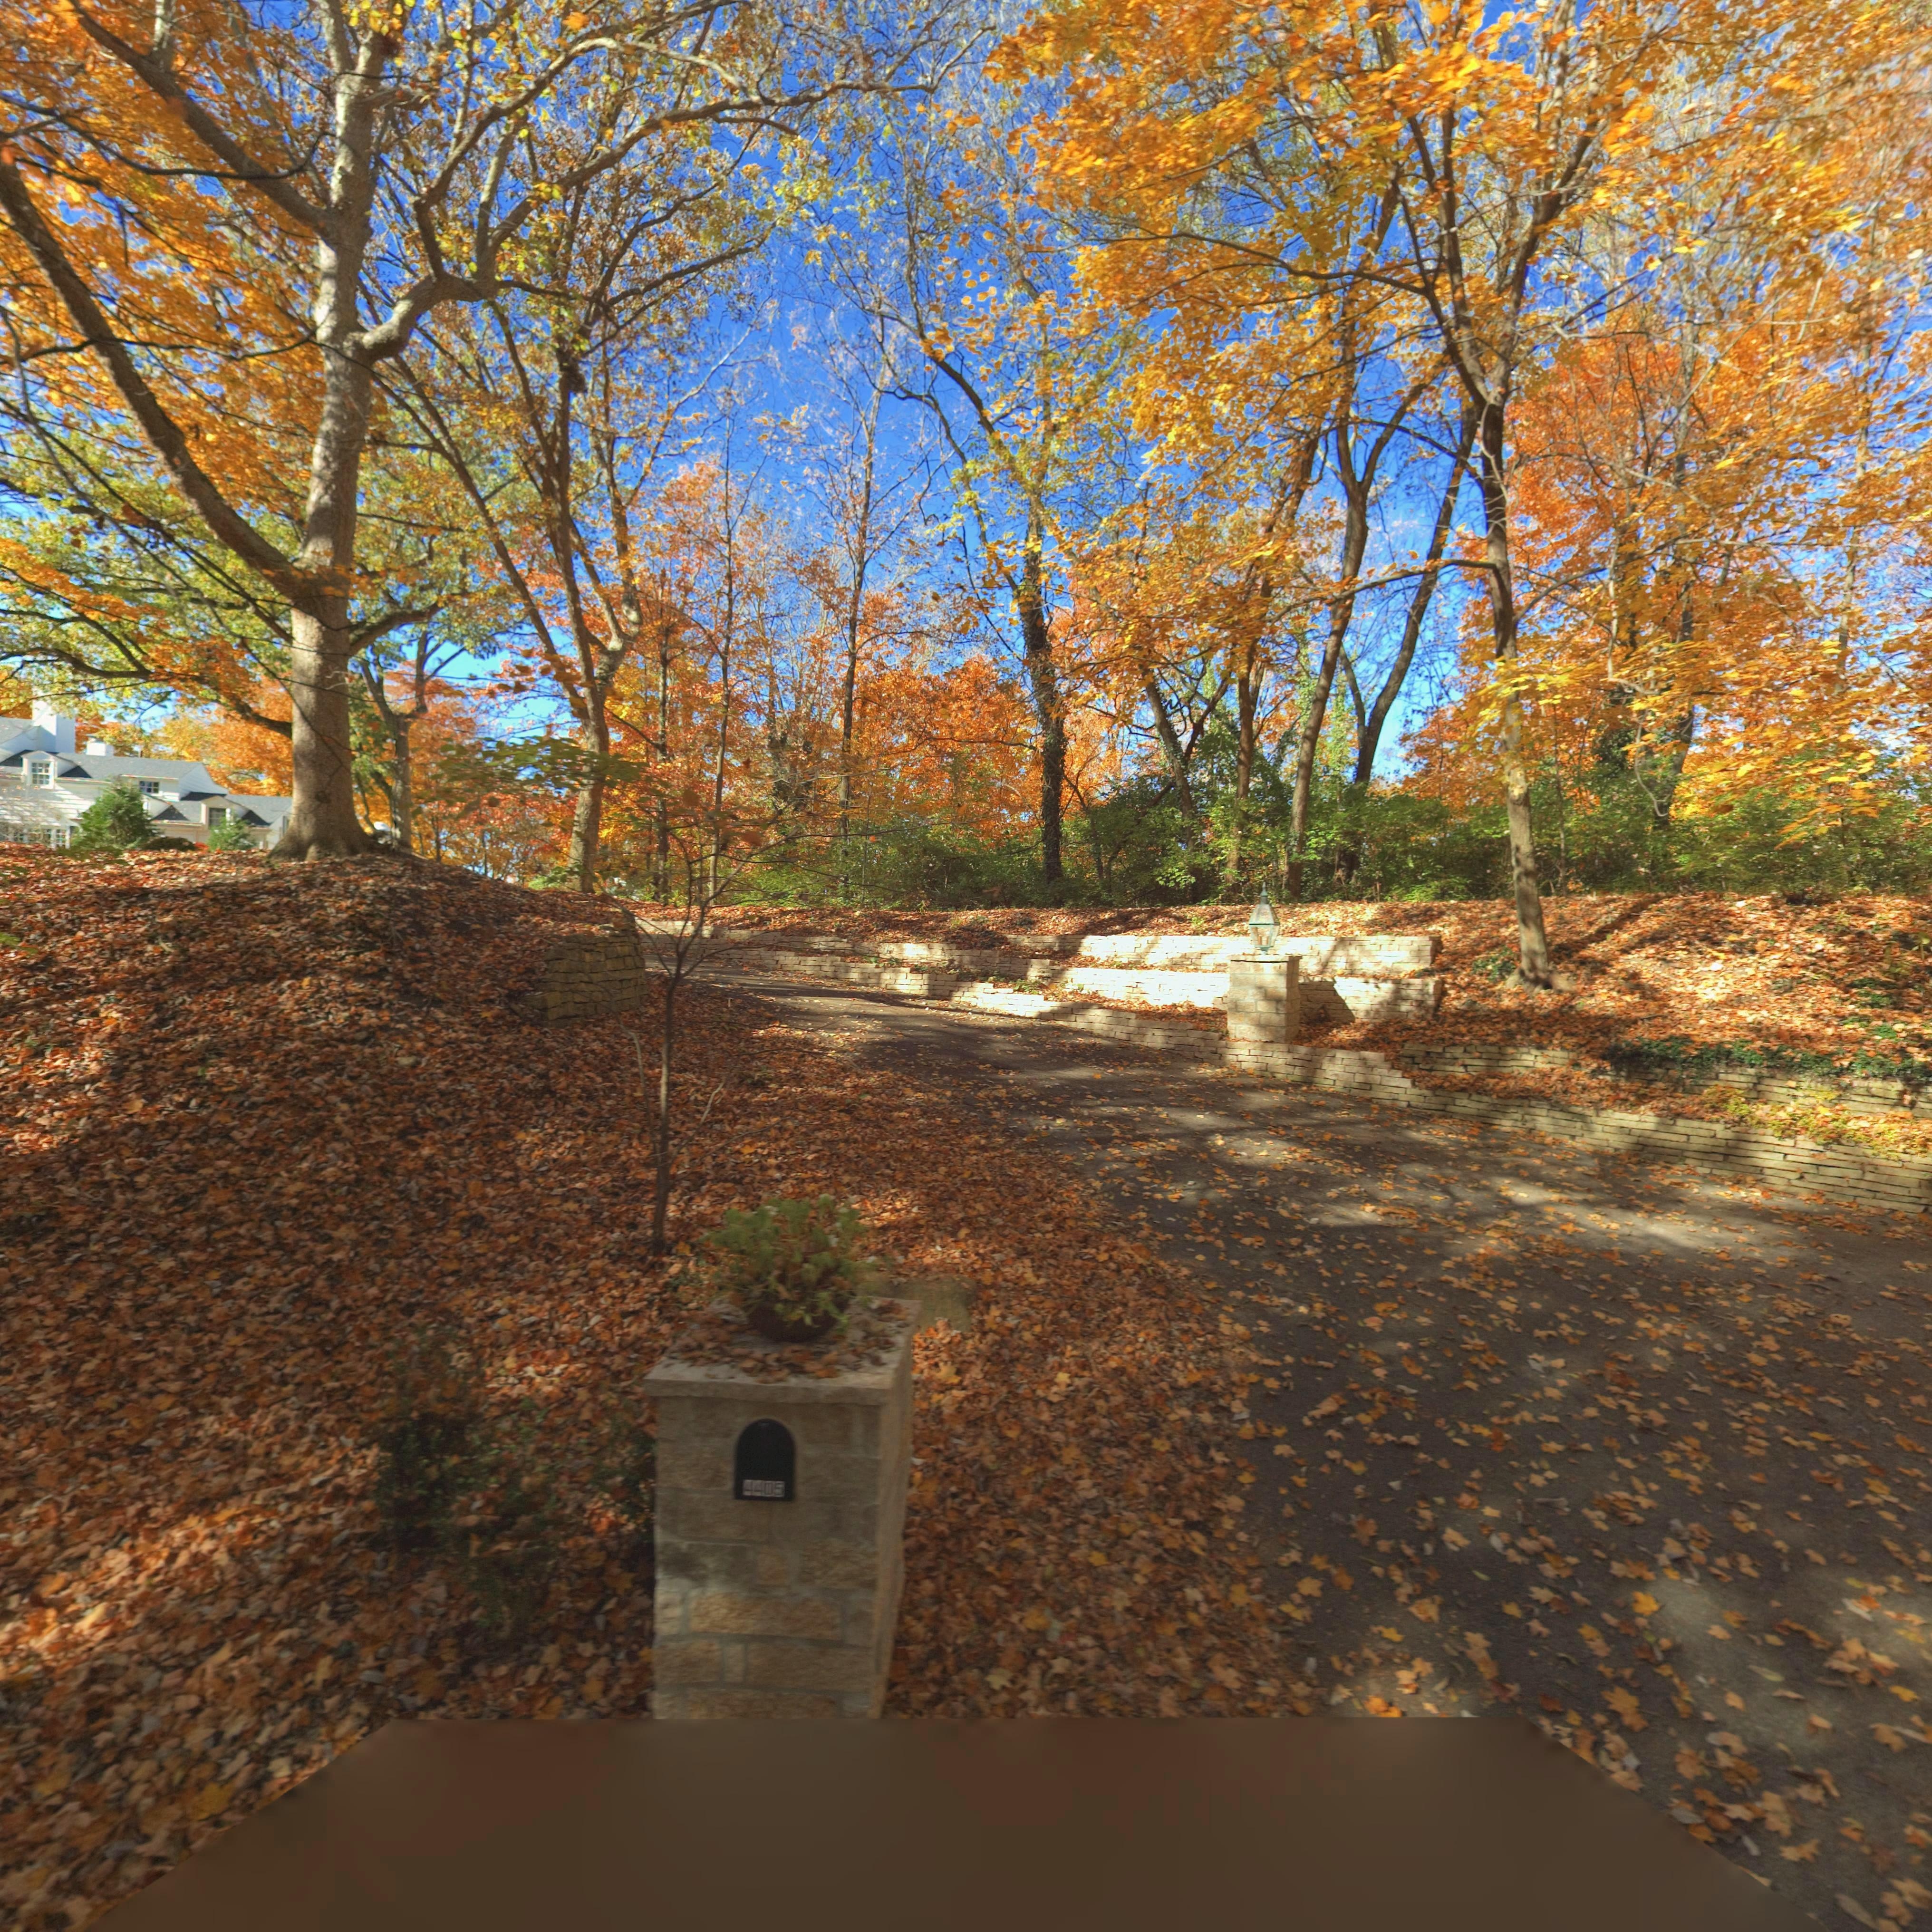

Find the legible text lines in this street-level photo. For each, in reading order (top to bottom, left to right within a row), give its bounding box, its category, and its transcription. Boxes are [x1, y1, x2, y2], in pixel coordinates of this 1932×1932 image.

[742, 1479, 785, 1497] StreetNumber: 4405